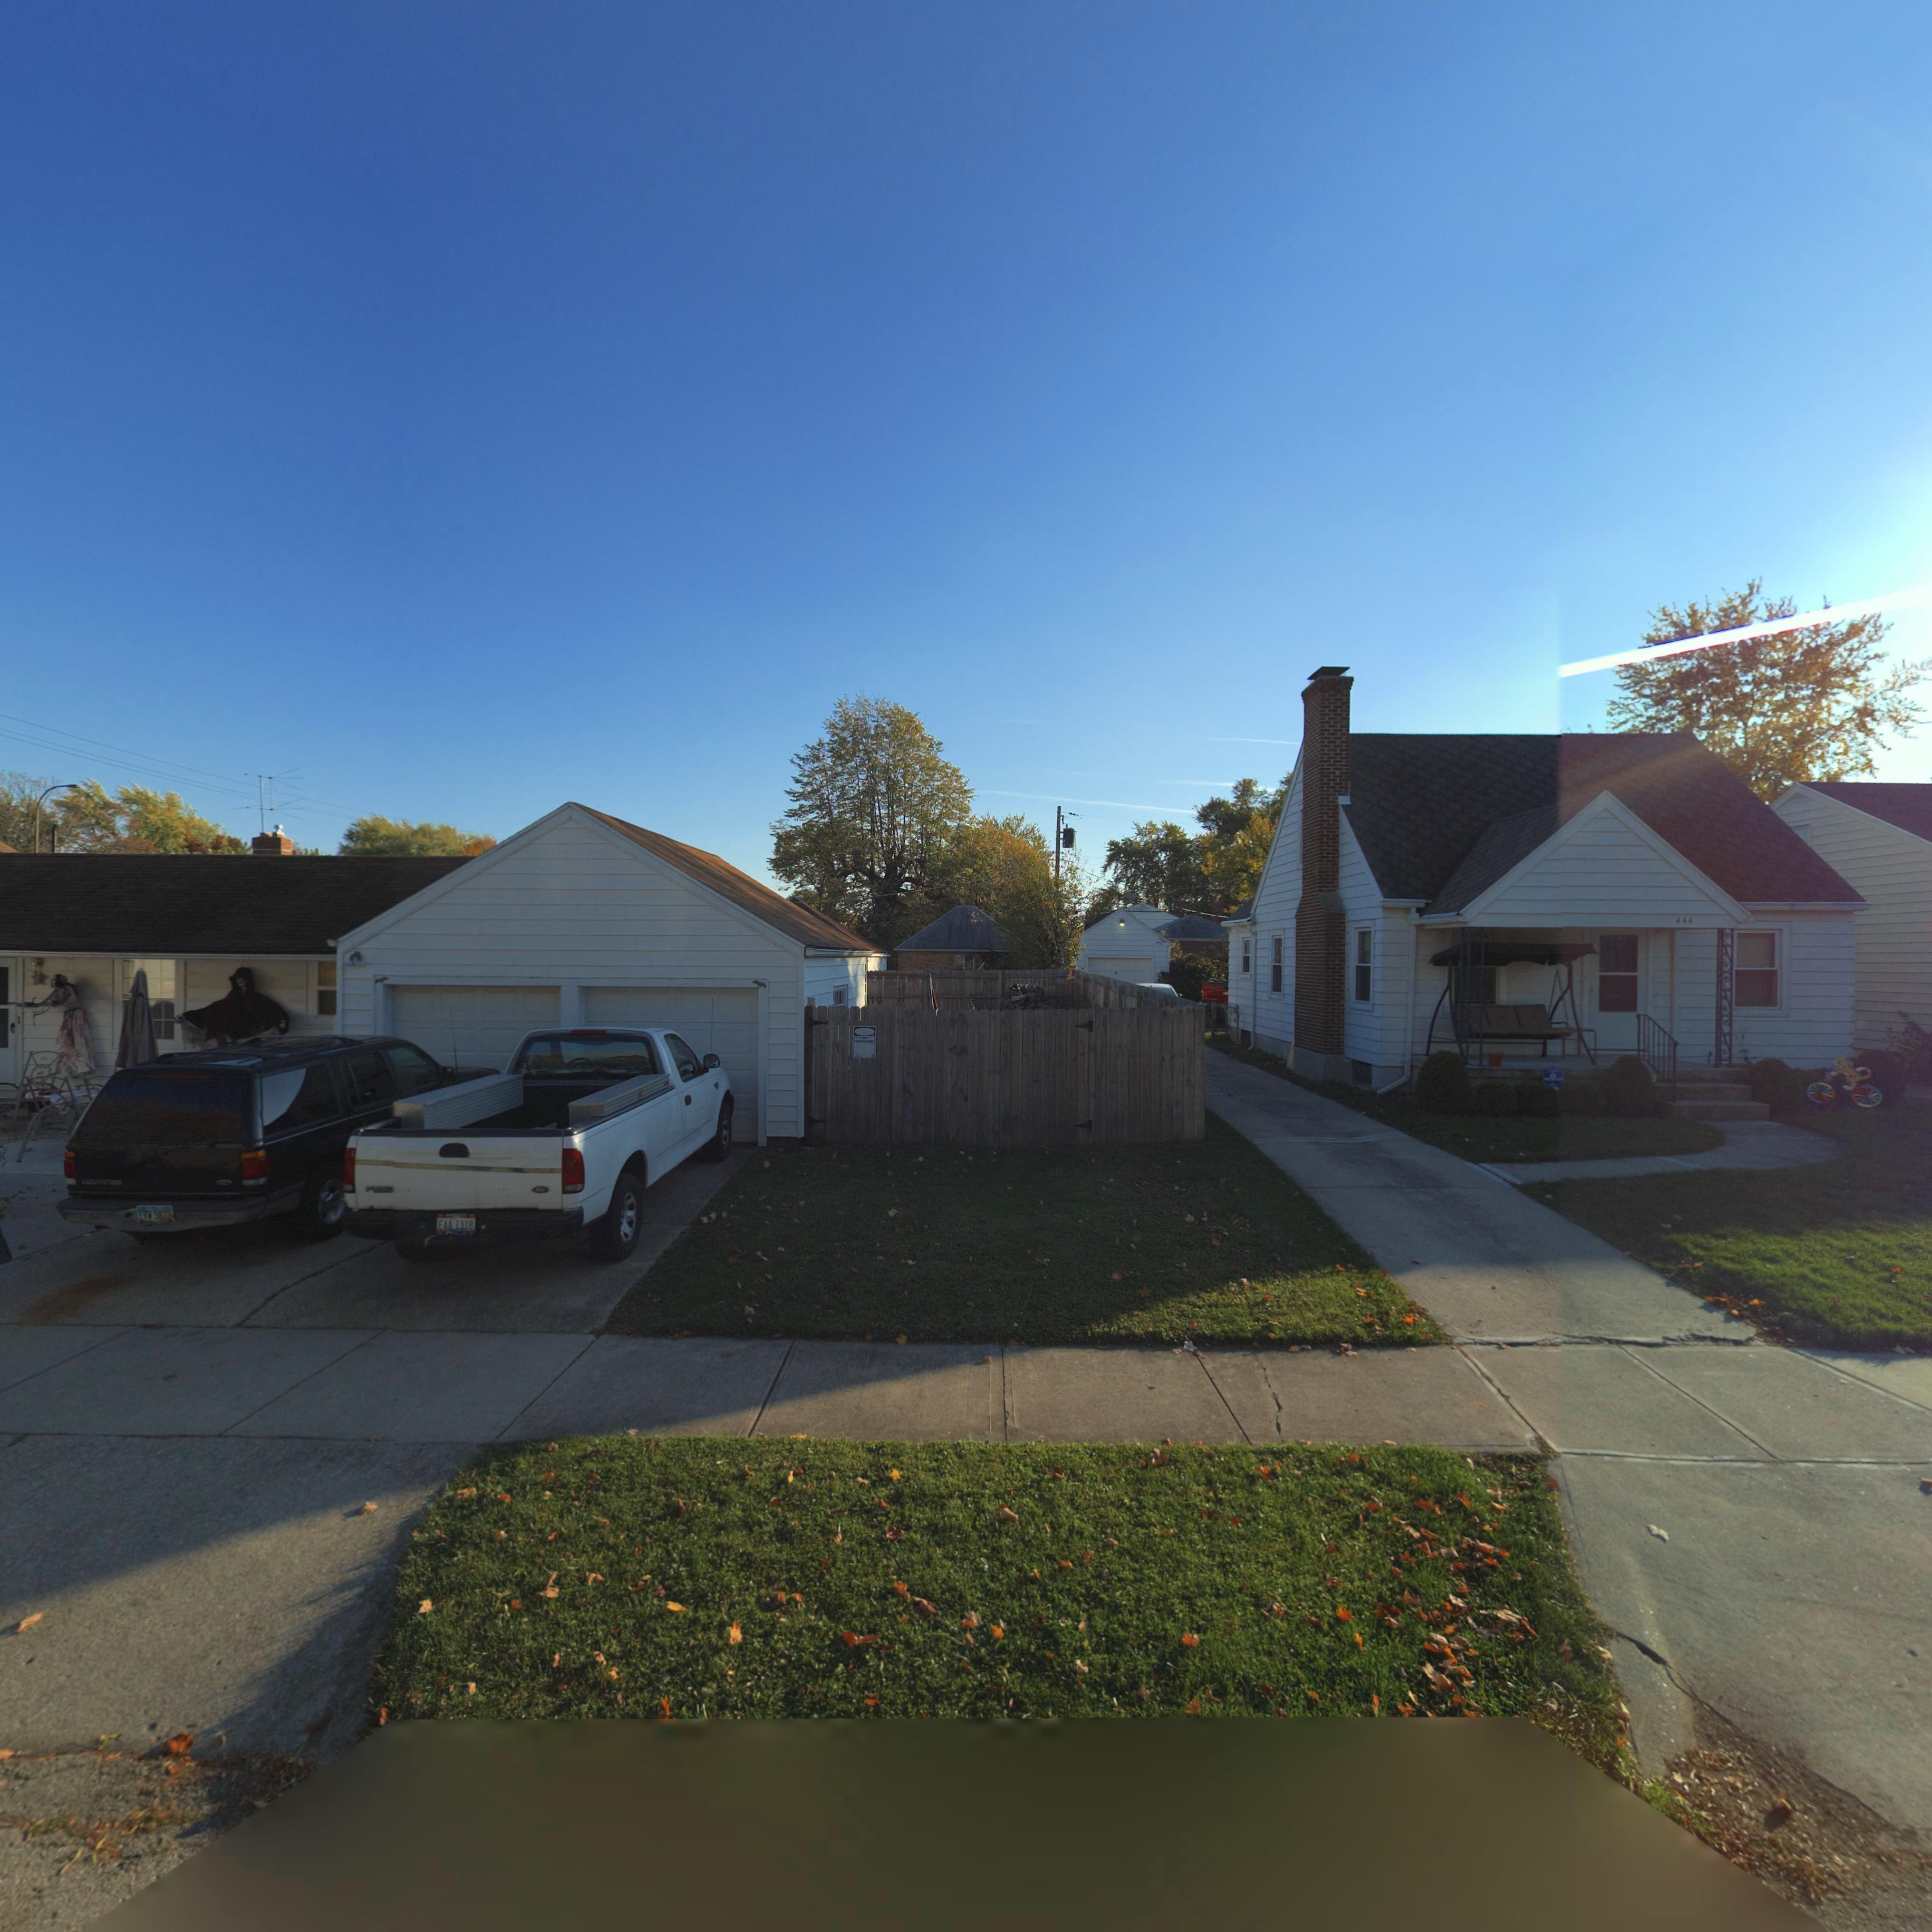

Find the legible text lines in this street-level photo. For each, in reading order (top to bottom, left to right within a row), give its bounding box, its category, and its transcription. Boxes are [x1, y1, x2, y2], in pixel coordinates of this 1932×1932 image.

[1674, 916, 1694, 924] StreetNumber: 444